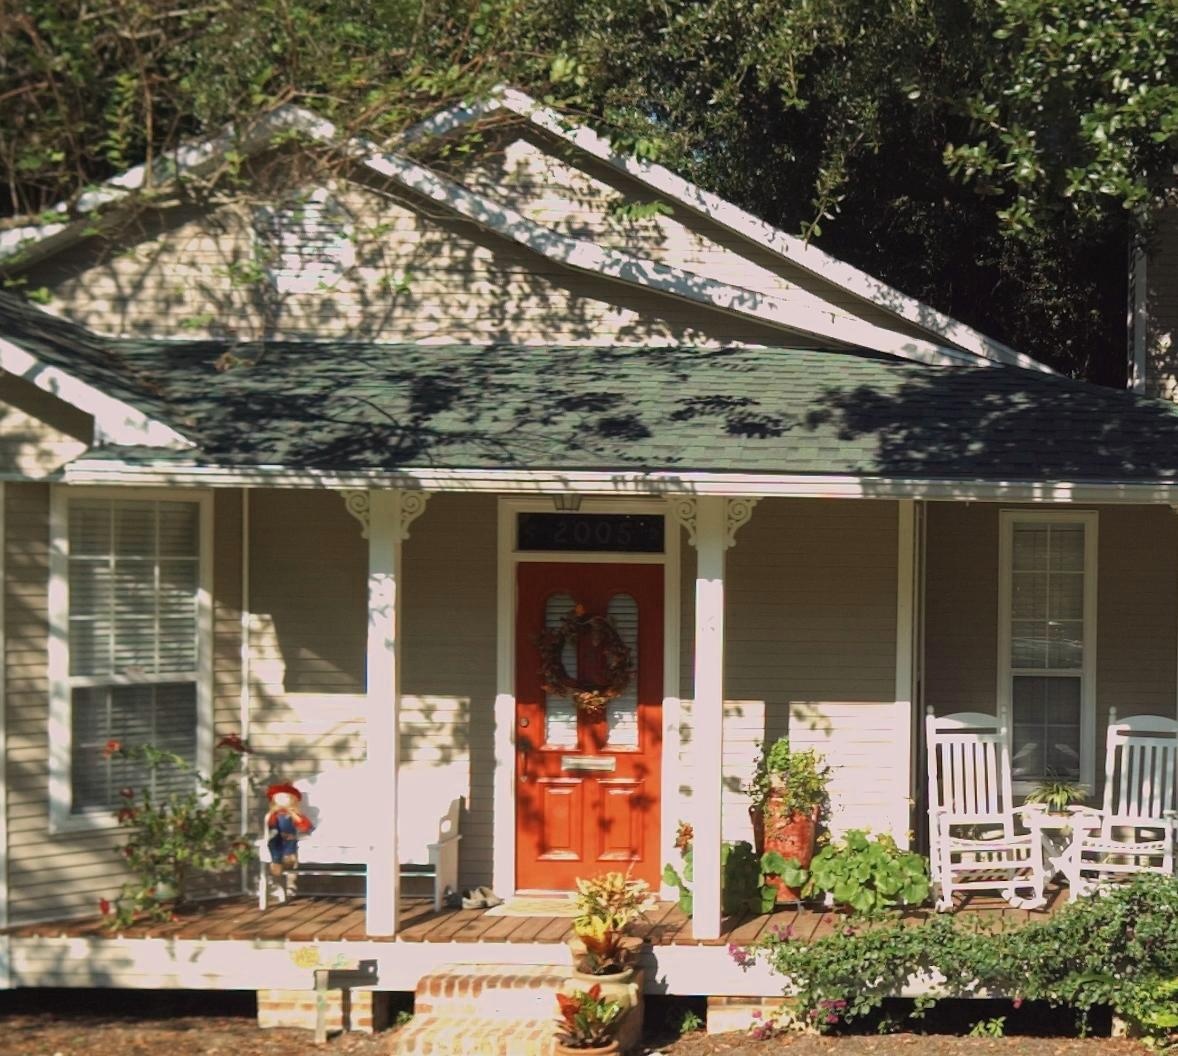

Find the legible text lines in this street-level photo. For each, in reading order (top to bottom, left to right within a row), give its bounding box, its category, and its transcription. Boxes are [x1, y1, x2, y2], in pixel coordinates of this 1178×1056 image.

[550, 519, 634, 547] StreetNumber: 2005